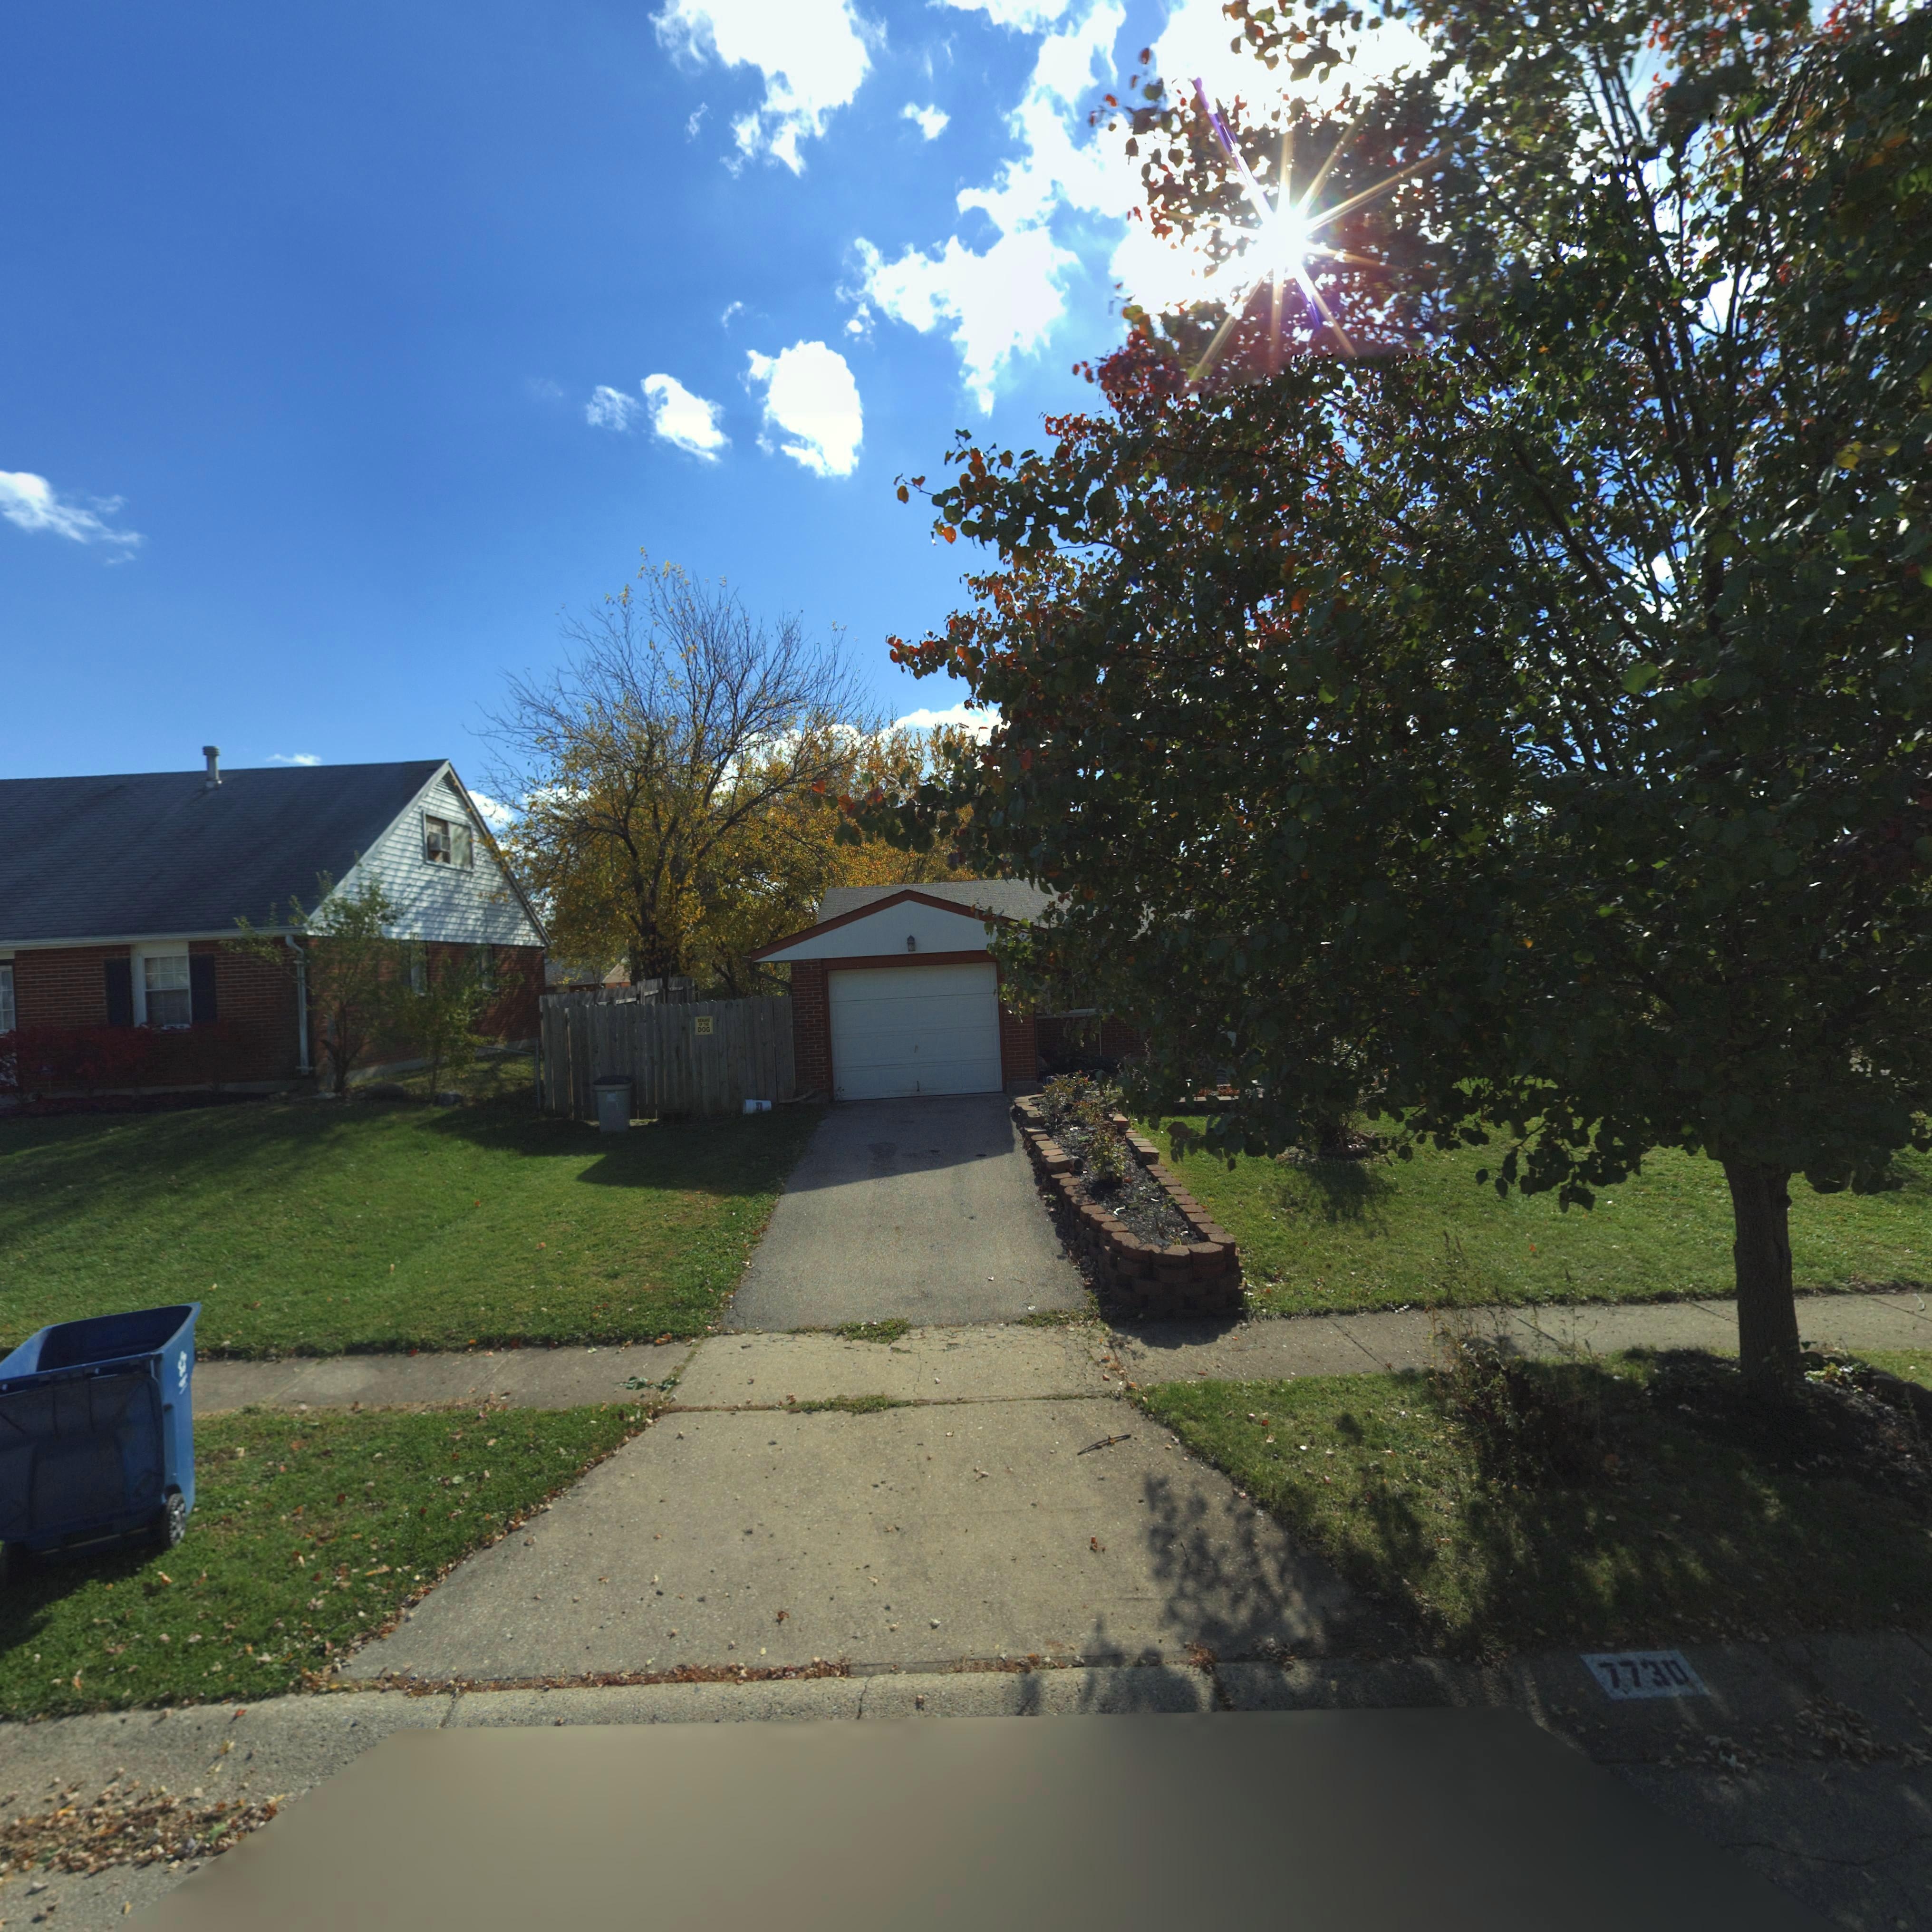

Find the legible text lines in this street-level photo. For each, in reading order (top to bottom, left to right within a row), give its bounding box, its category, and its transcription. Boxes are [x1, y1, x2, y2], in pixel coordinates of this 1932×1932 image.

[1596, 1658, 1694, 1690] StreetNumber: 7730